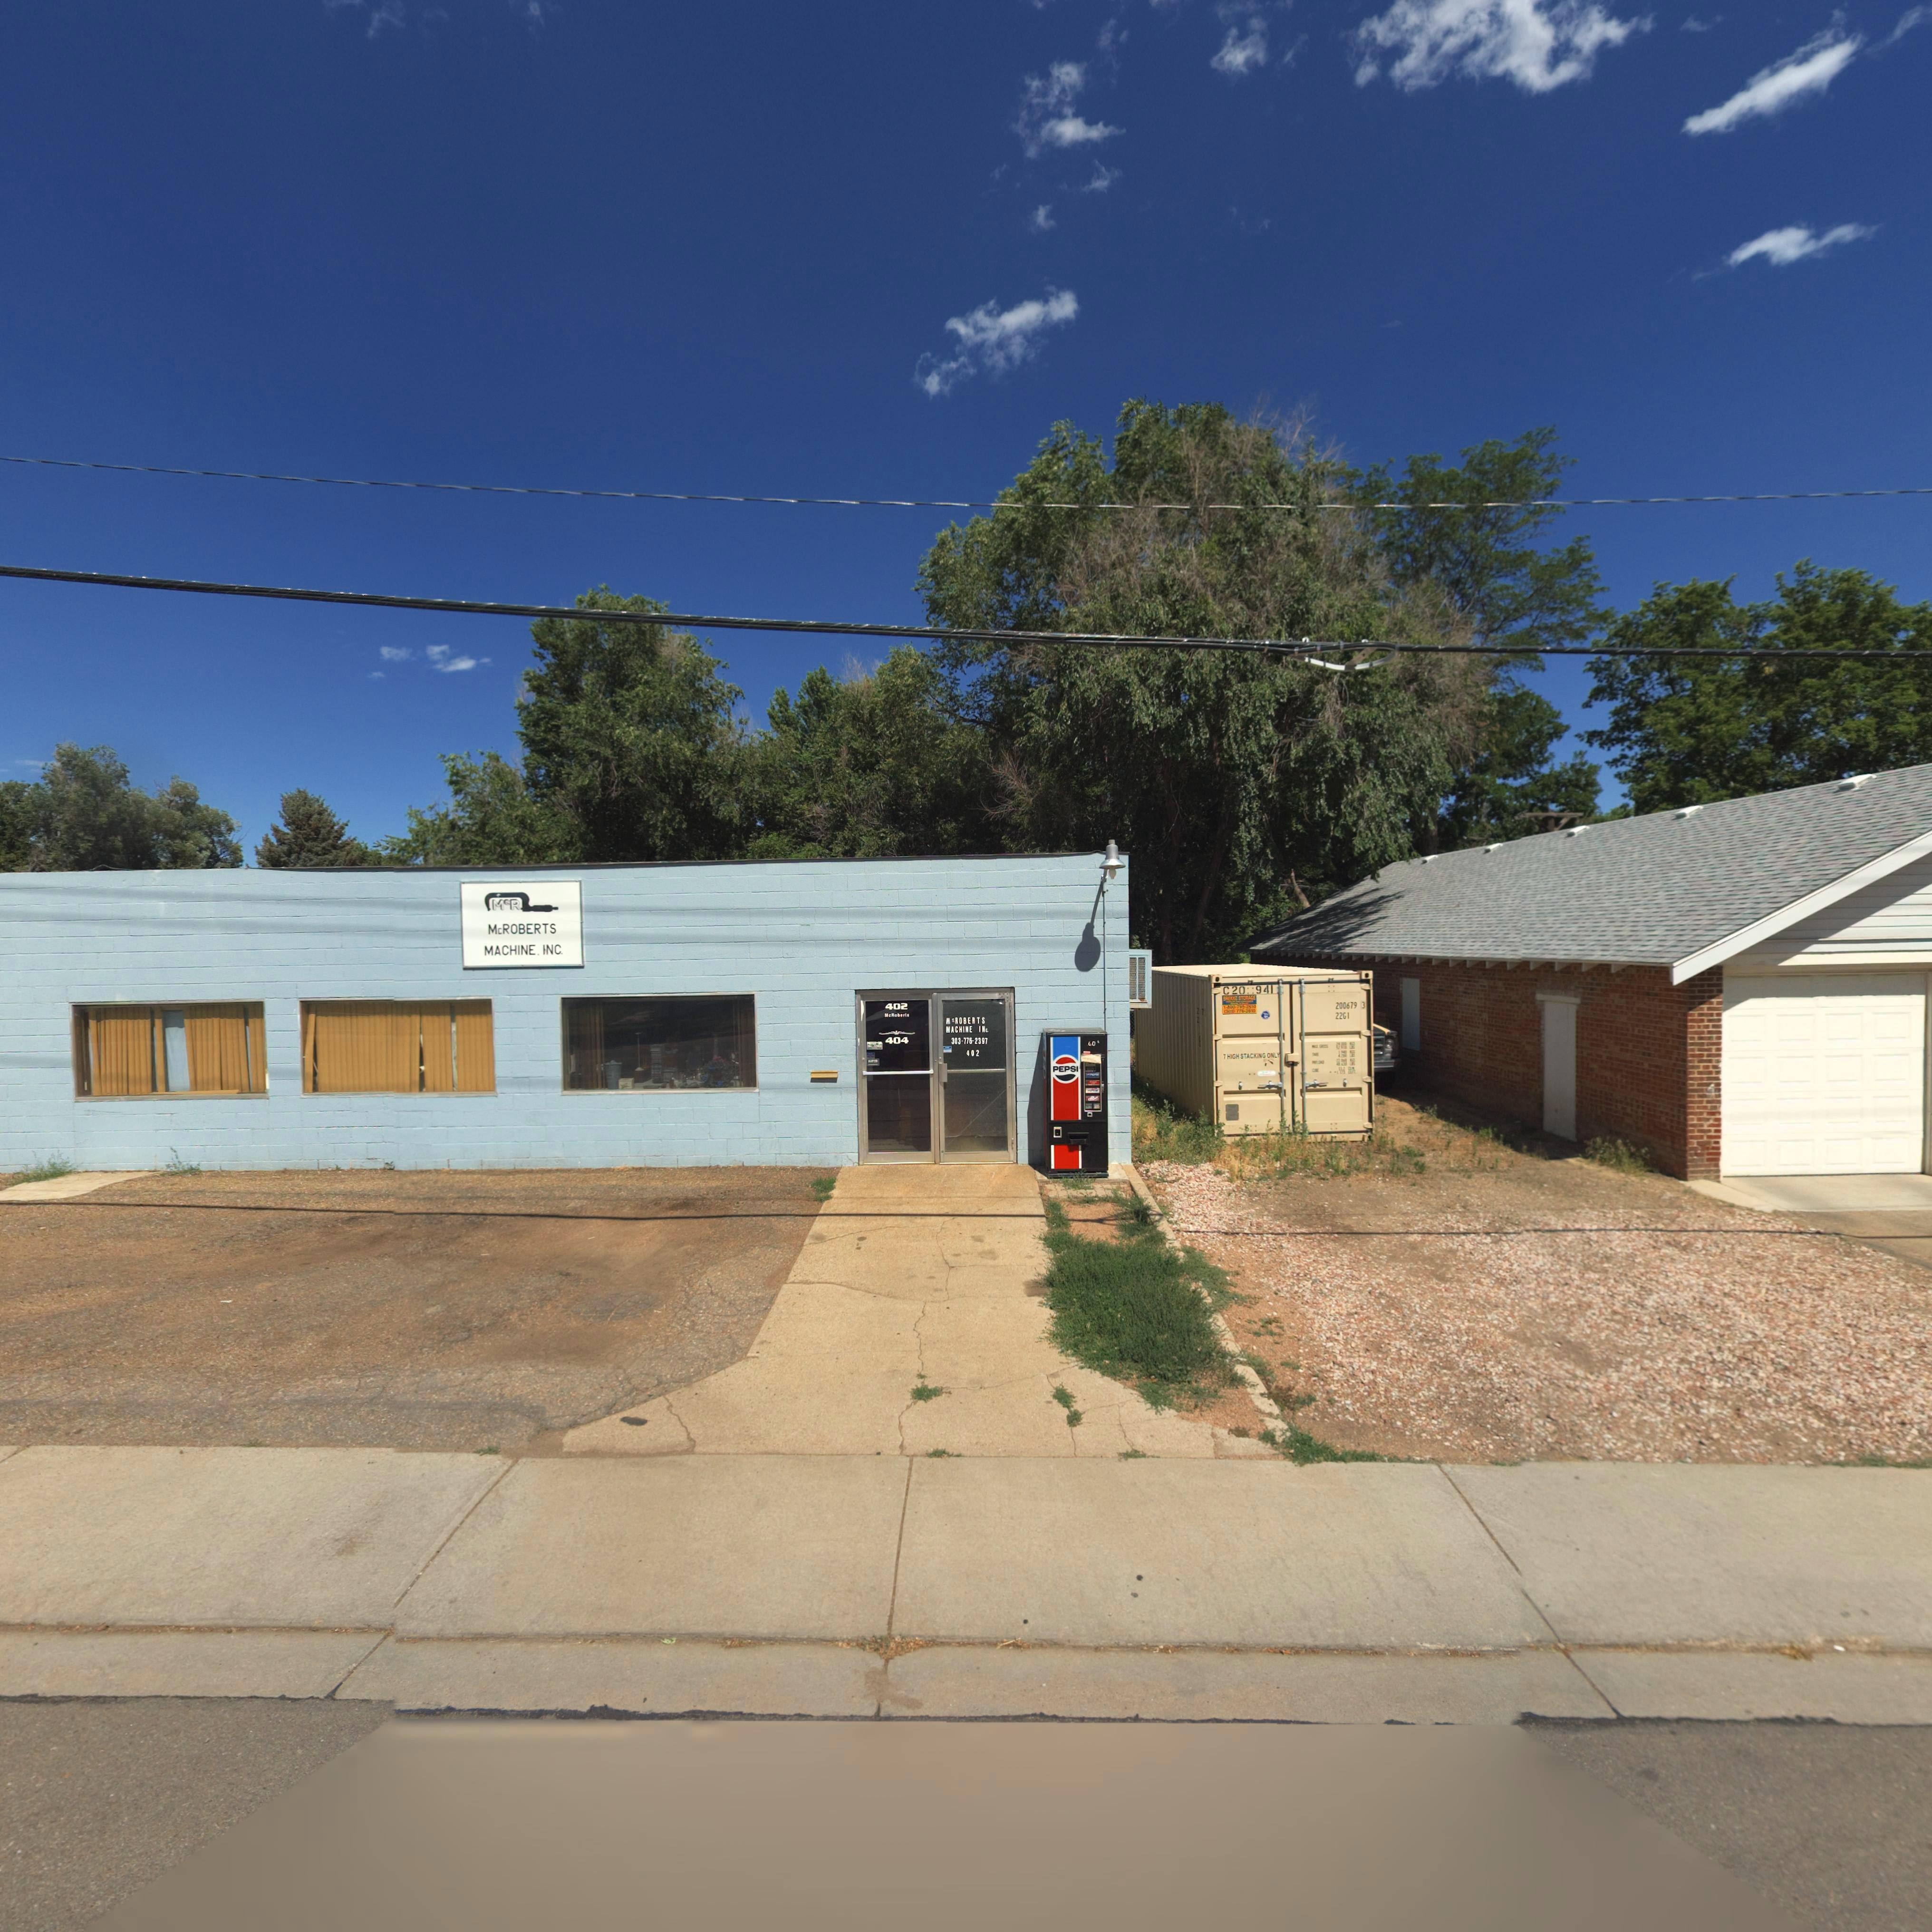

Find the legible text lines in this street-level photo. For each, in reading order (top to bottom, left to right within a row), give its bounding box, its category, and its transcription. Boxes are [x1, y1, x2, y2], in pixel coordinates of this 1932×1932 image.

[492, 898, 521, 910] BusinessName: McR
[488, 923, 557, 935] BusinessName: McROBERTS
[484, 943, 563, 956] BusinessName: MACHINE INC
[884, 1003, 908, 1010] StreetNumber: 402
[884, 1013, 909, 1017] BusinessName: McRoberts
[945, 1016, 985, 1024] BusinessName: McROBERTS
[946, 1025, 988, 1033] BusinessName: MACHINE INc
[884, 1036, 909, 1044] StreetNumber: 404
[966, 1049, 980, 1056] StreetNumber: 402